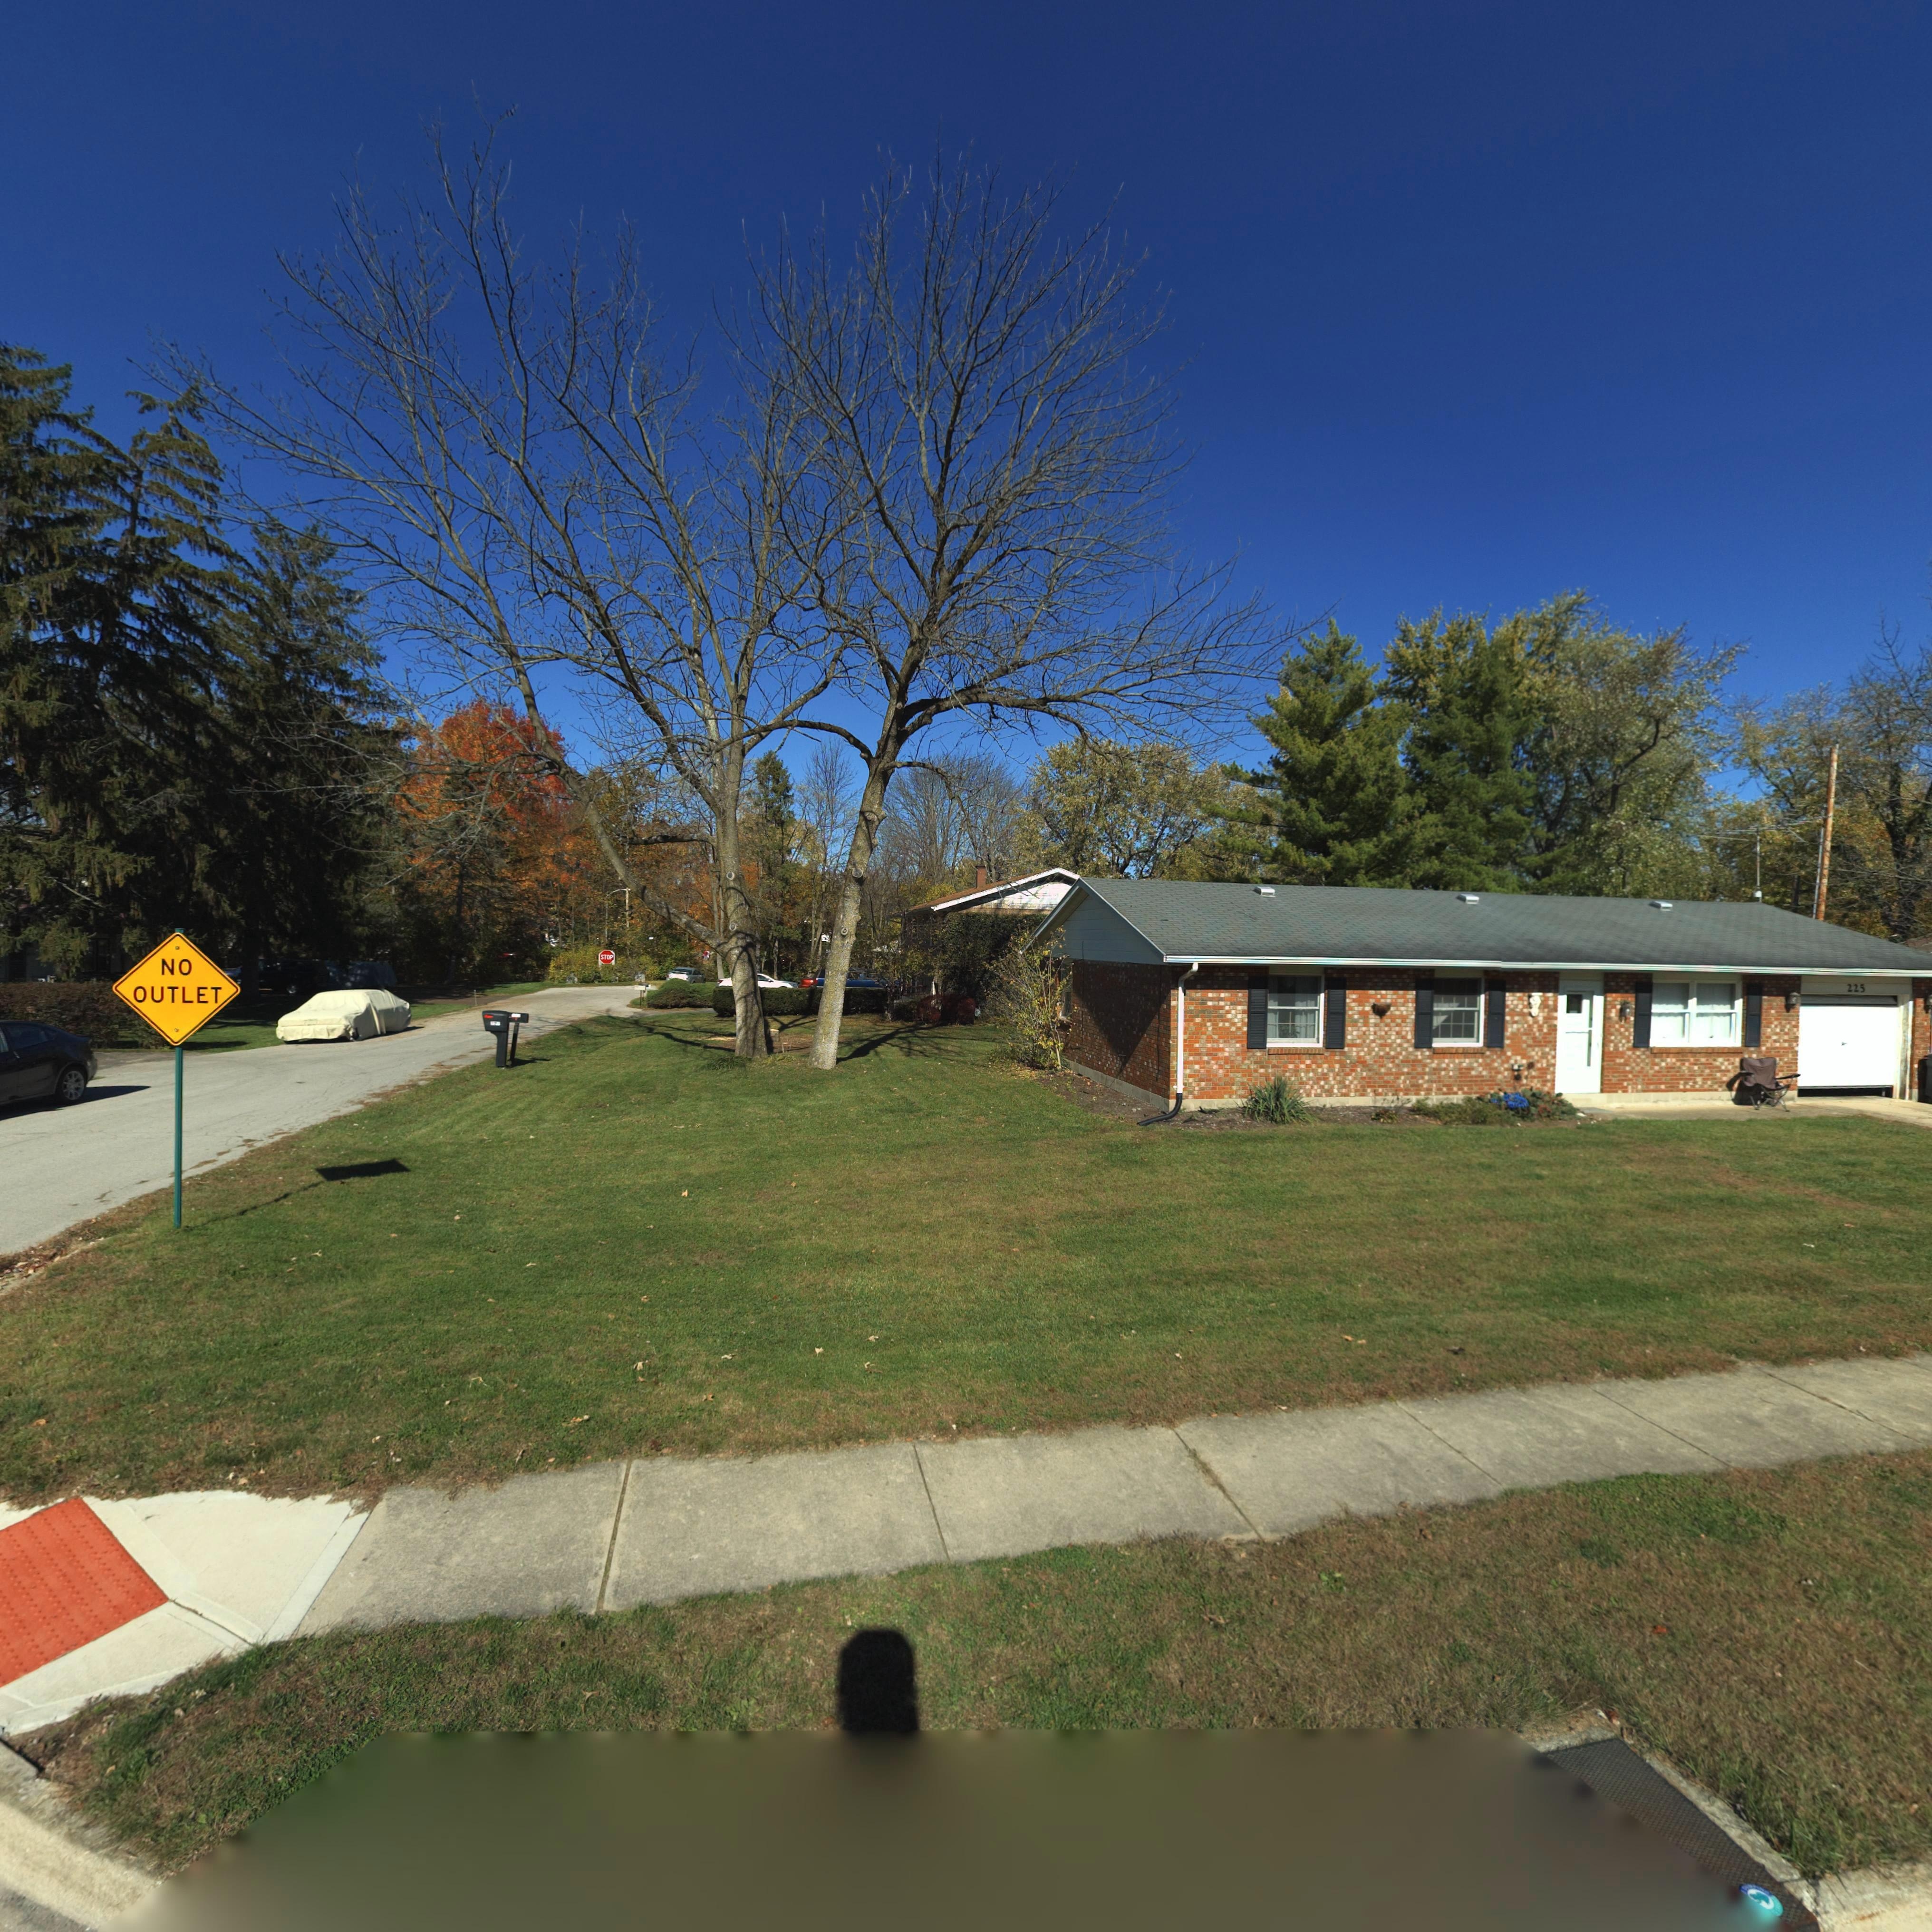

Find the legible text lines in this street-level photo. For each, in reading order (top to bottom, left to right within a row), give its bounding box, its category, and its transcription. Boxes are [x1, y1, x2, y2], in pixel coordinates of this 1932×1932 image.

[1846, 983, 1865, 993] StreetNumber: 225